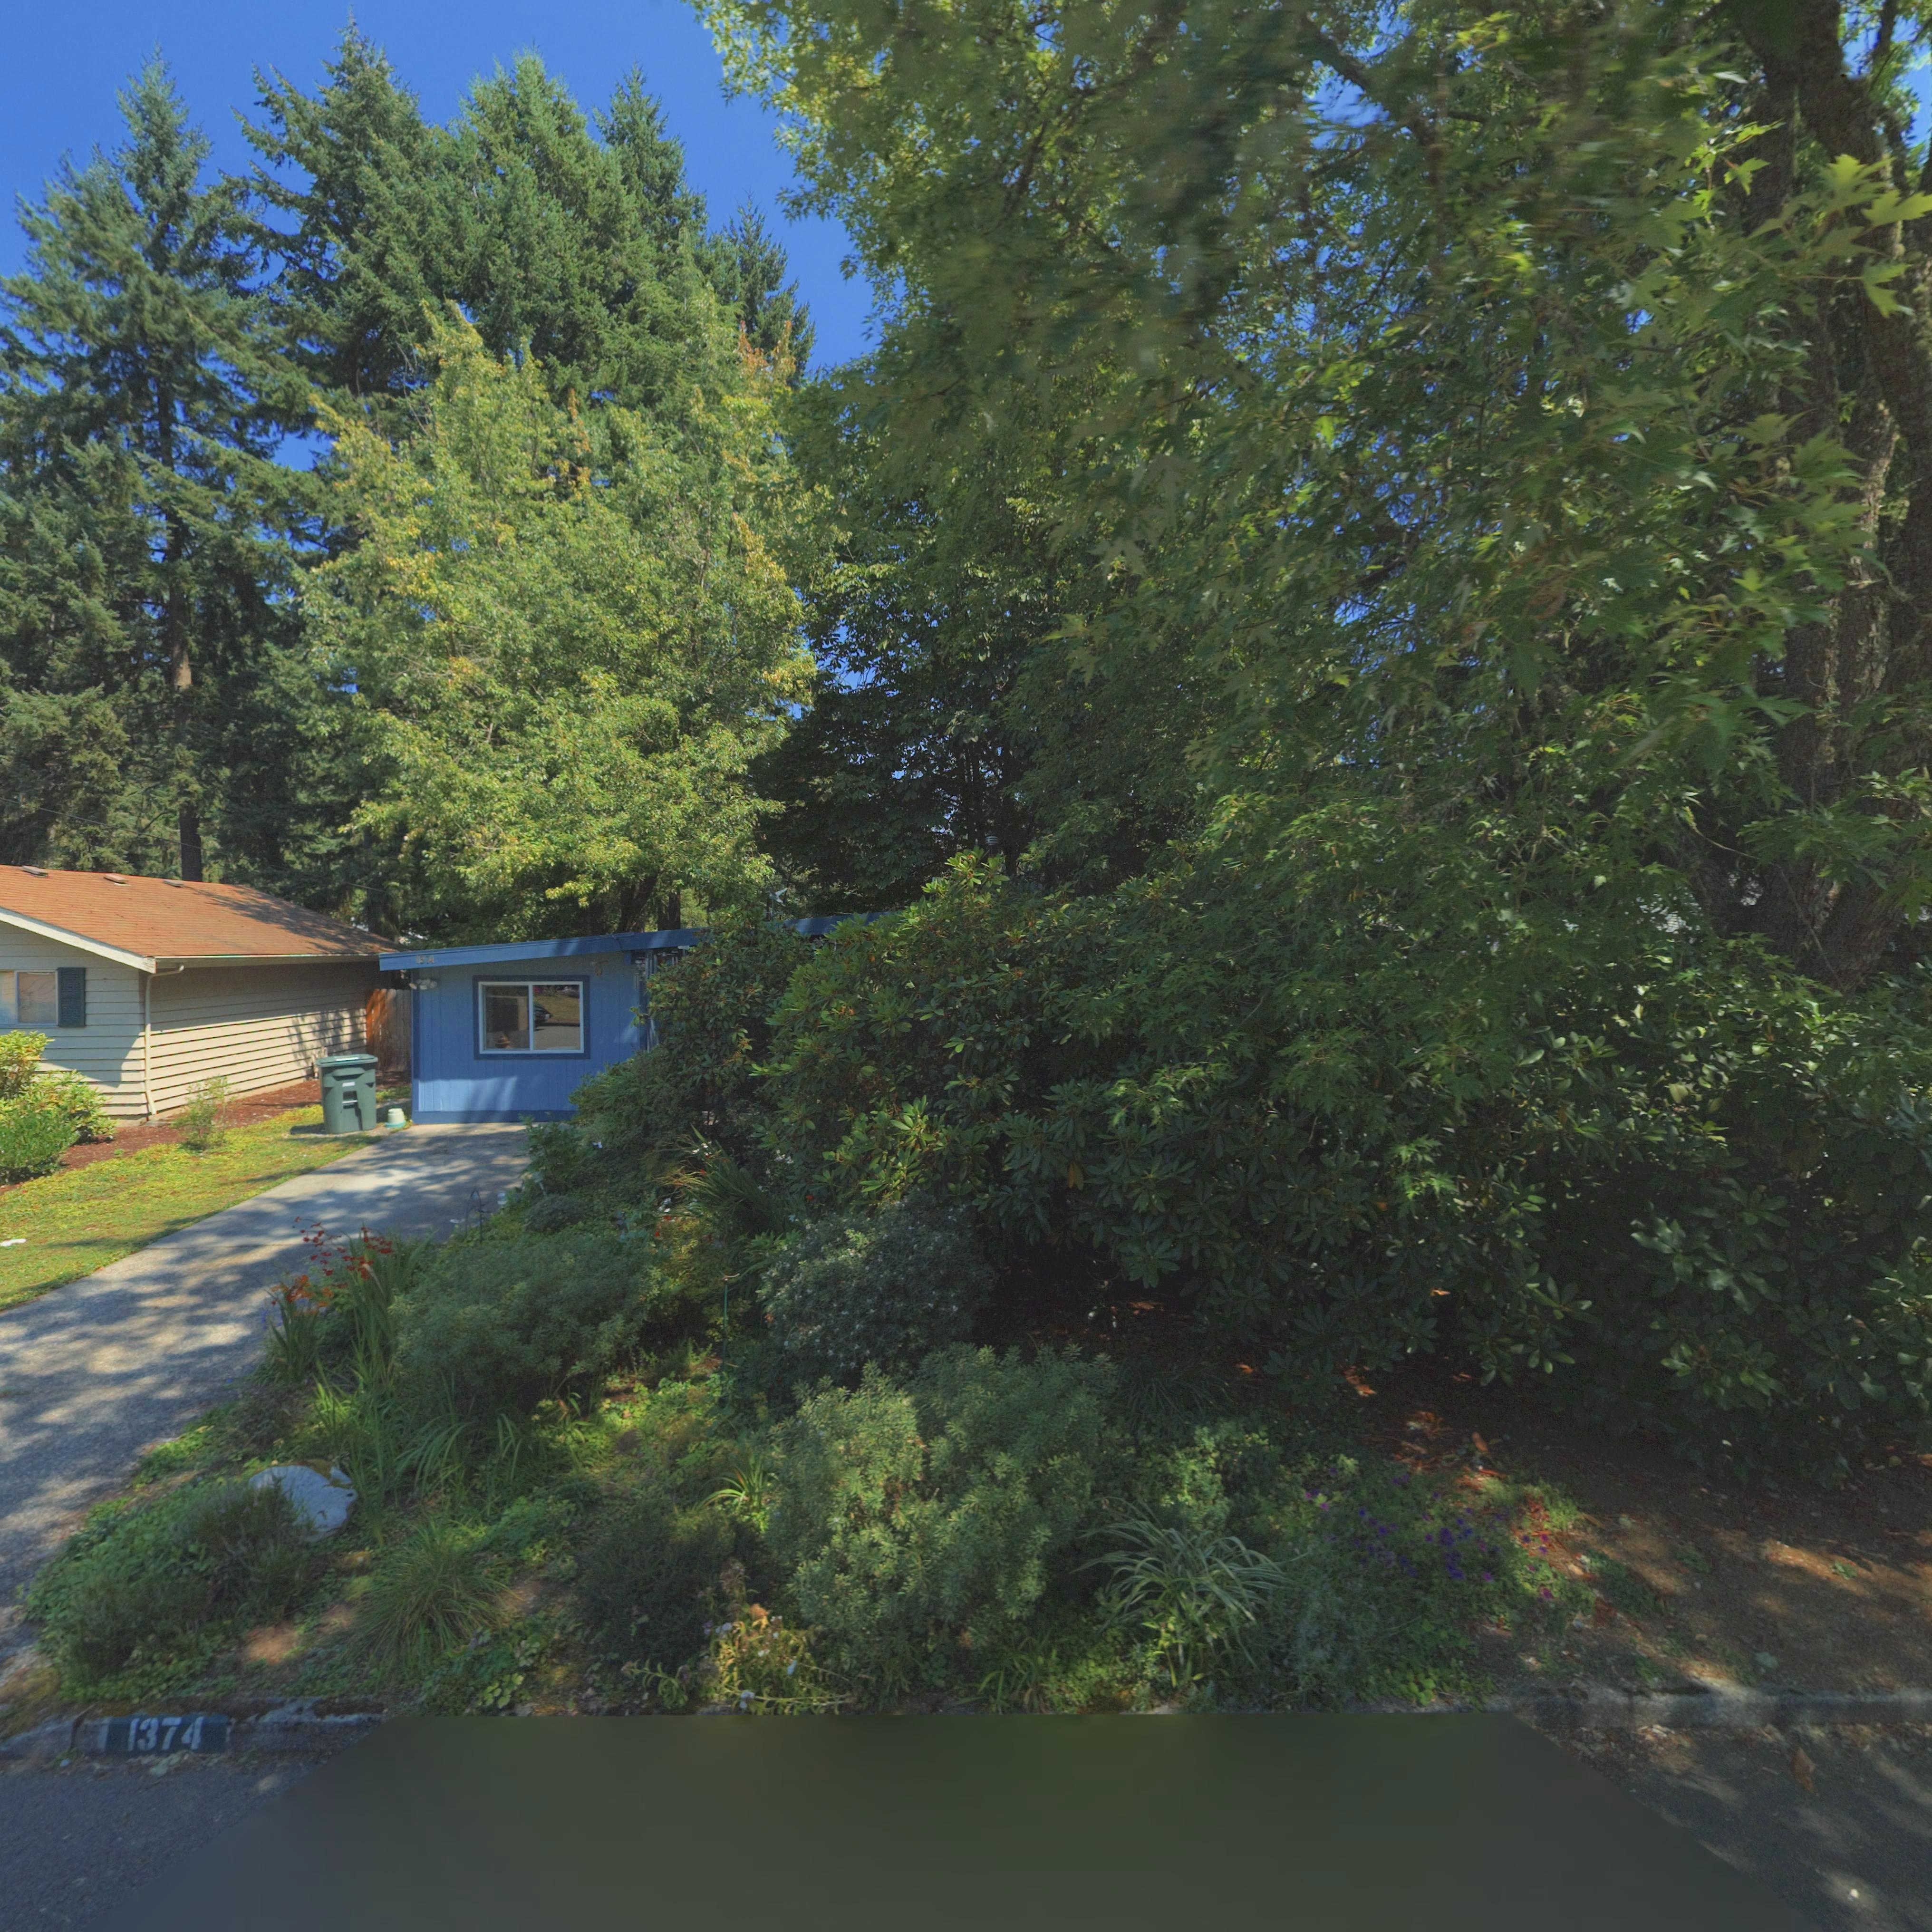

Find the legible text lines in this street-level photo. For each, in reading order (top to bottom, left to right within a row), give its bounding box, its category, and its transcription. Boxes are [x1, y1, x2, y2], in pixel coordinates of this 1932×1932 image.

[416, 956, 434, 964] StreetNumber: 1*74
[127, 1716, 205, 1750] StreetNumber: 1374